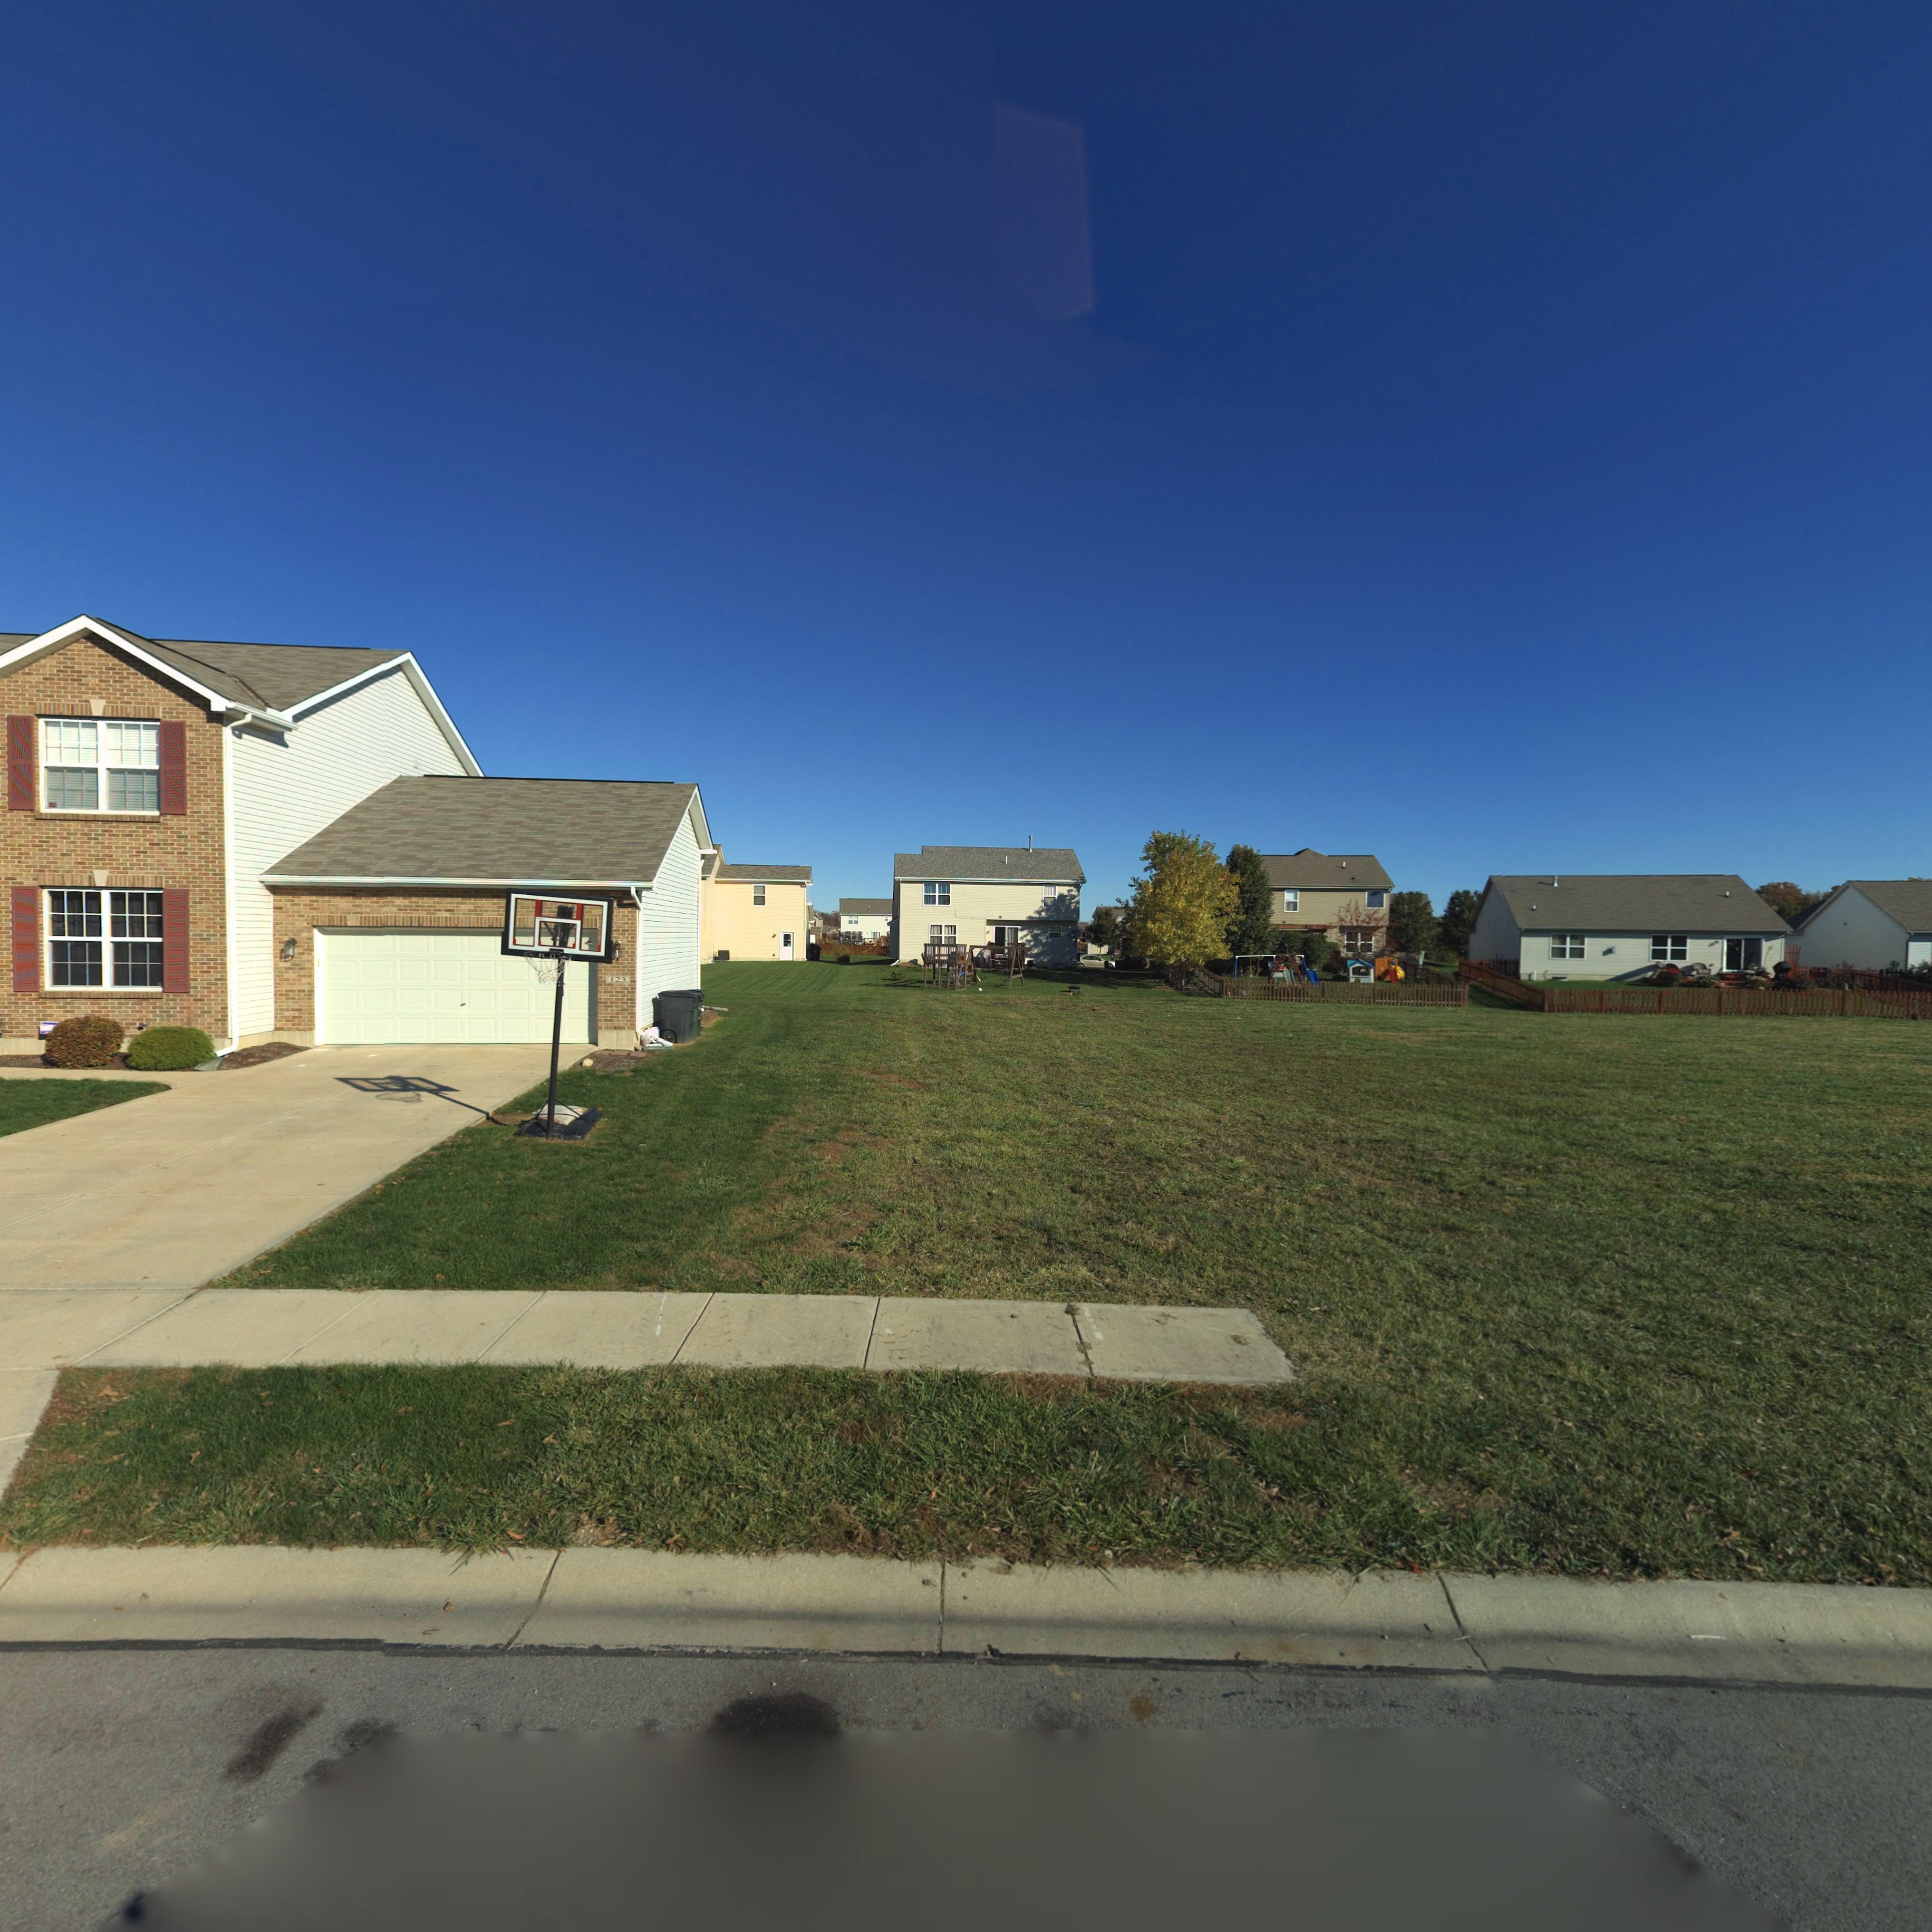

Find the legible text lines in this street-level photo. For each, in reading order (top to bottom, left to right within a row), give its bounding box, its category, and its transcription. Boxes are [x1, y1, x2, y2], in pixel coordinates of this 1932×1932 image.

[610, 976, 627, 983] StreetNumber: 123